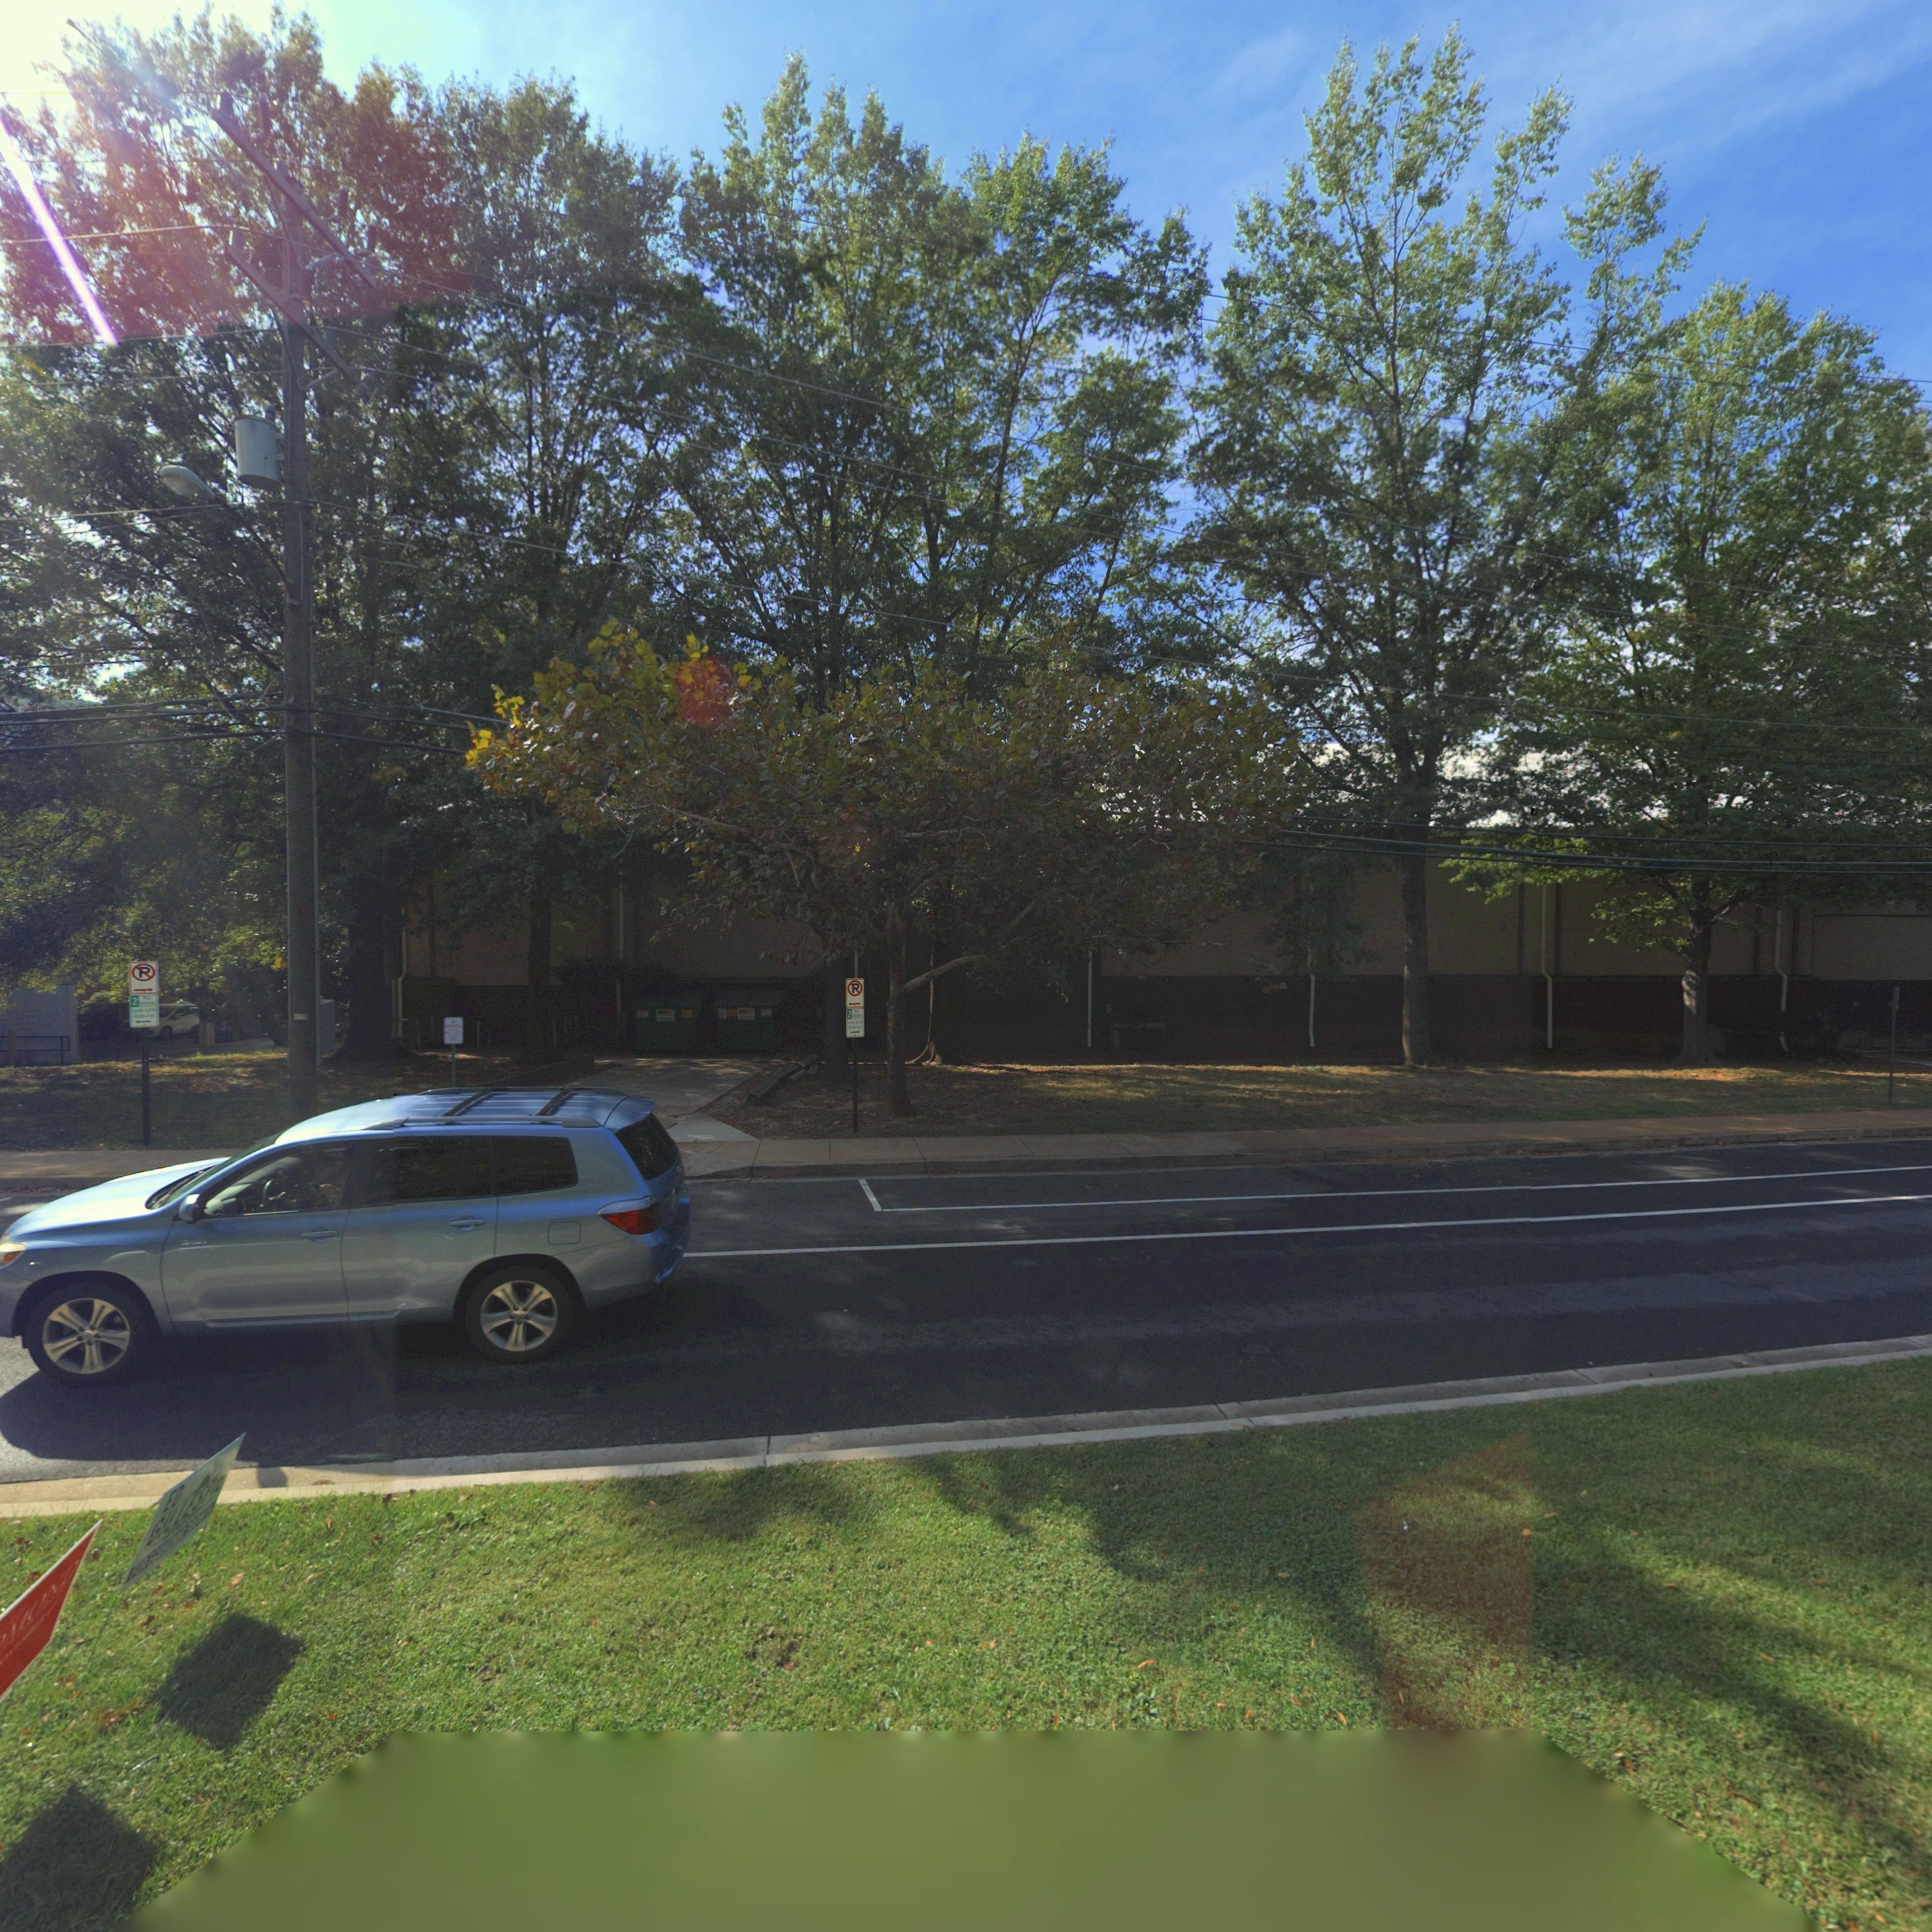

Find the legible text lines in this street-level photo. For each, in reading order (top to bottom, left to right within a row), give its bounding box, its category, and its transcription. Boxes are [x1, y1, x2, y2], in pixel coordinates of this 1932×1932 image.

[131, 996, 139, 1006] None: 2
[657, 1010, 674, 1015] None: WM
[738, 1009, 754, 1014] None: WM
[847, 1010, 851, 1018] None: 2
[848, 1025, 862, 1029] None: MON-FRI
[162, 1483, 185, 1514] None: ED
[145, 1476, 219, 1549] None: GILLESP
[1, 1559, 80, 1652] None: MOND